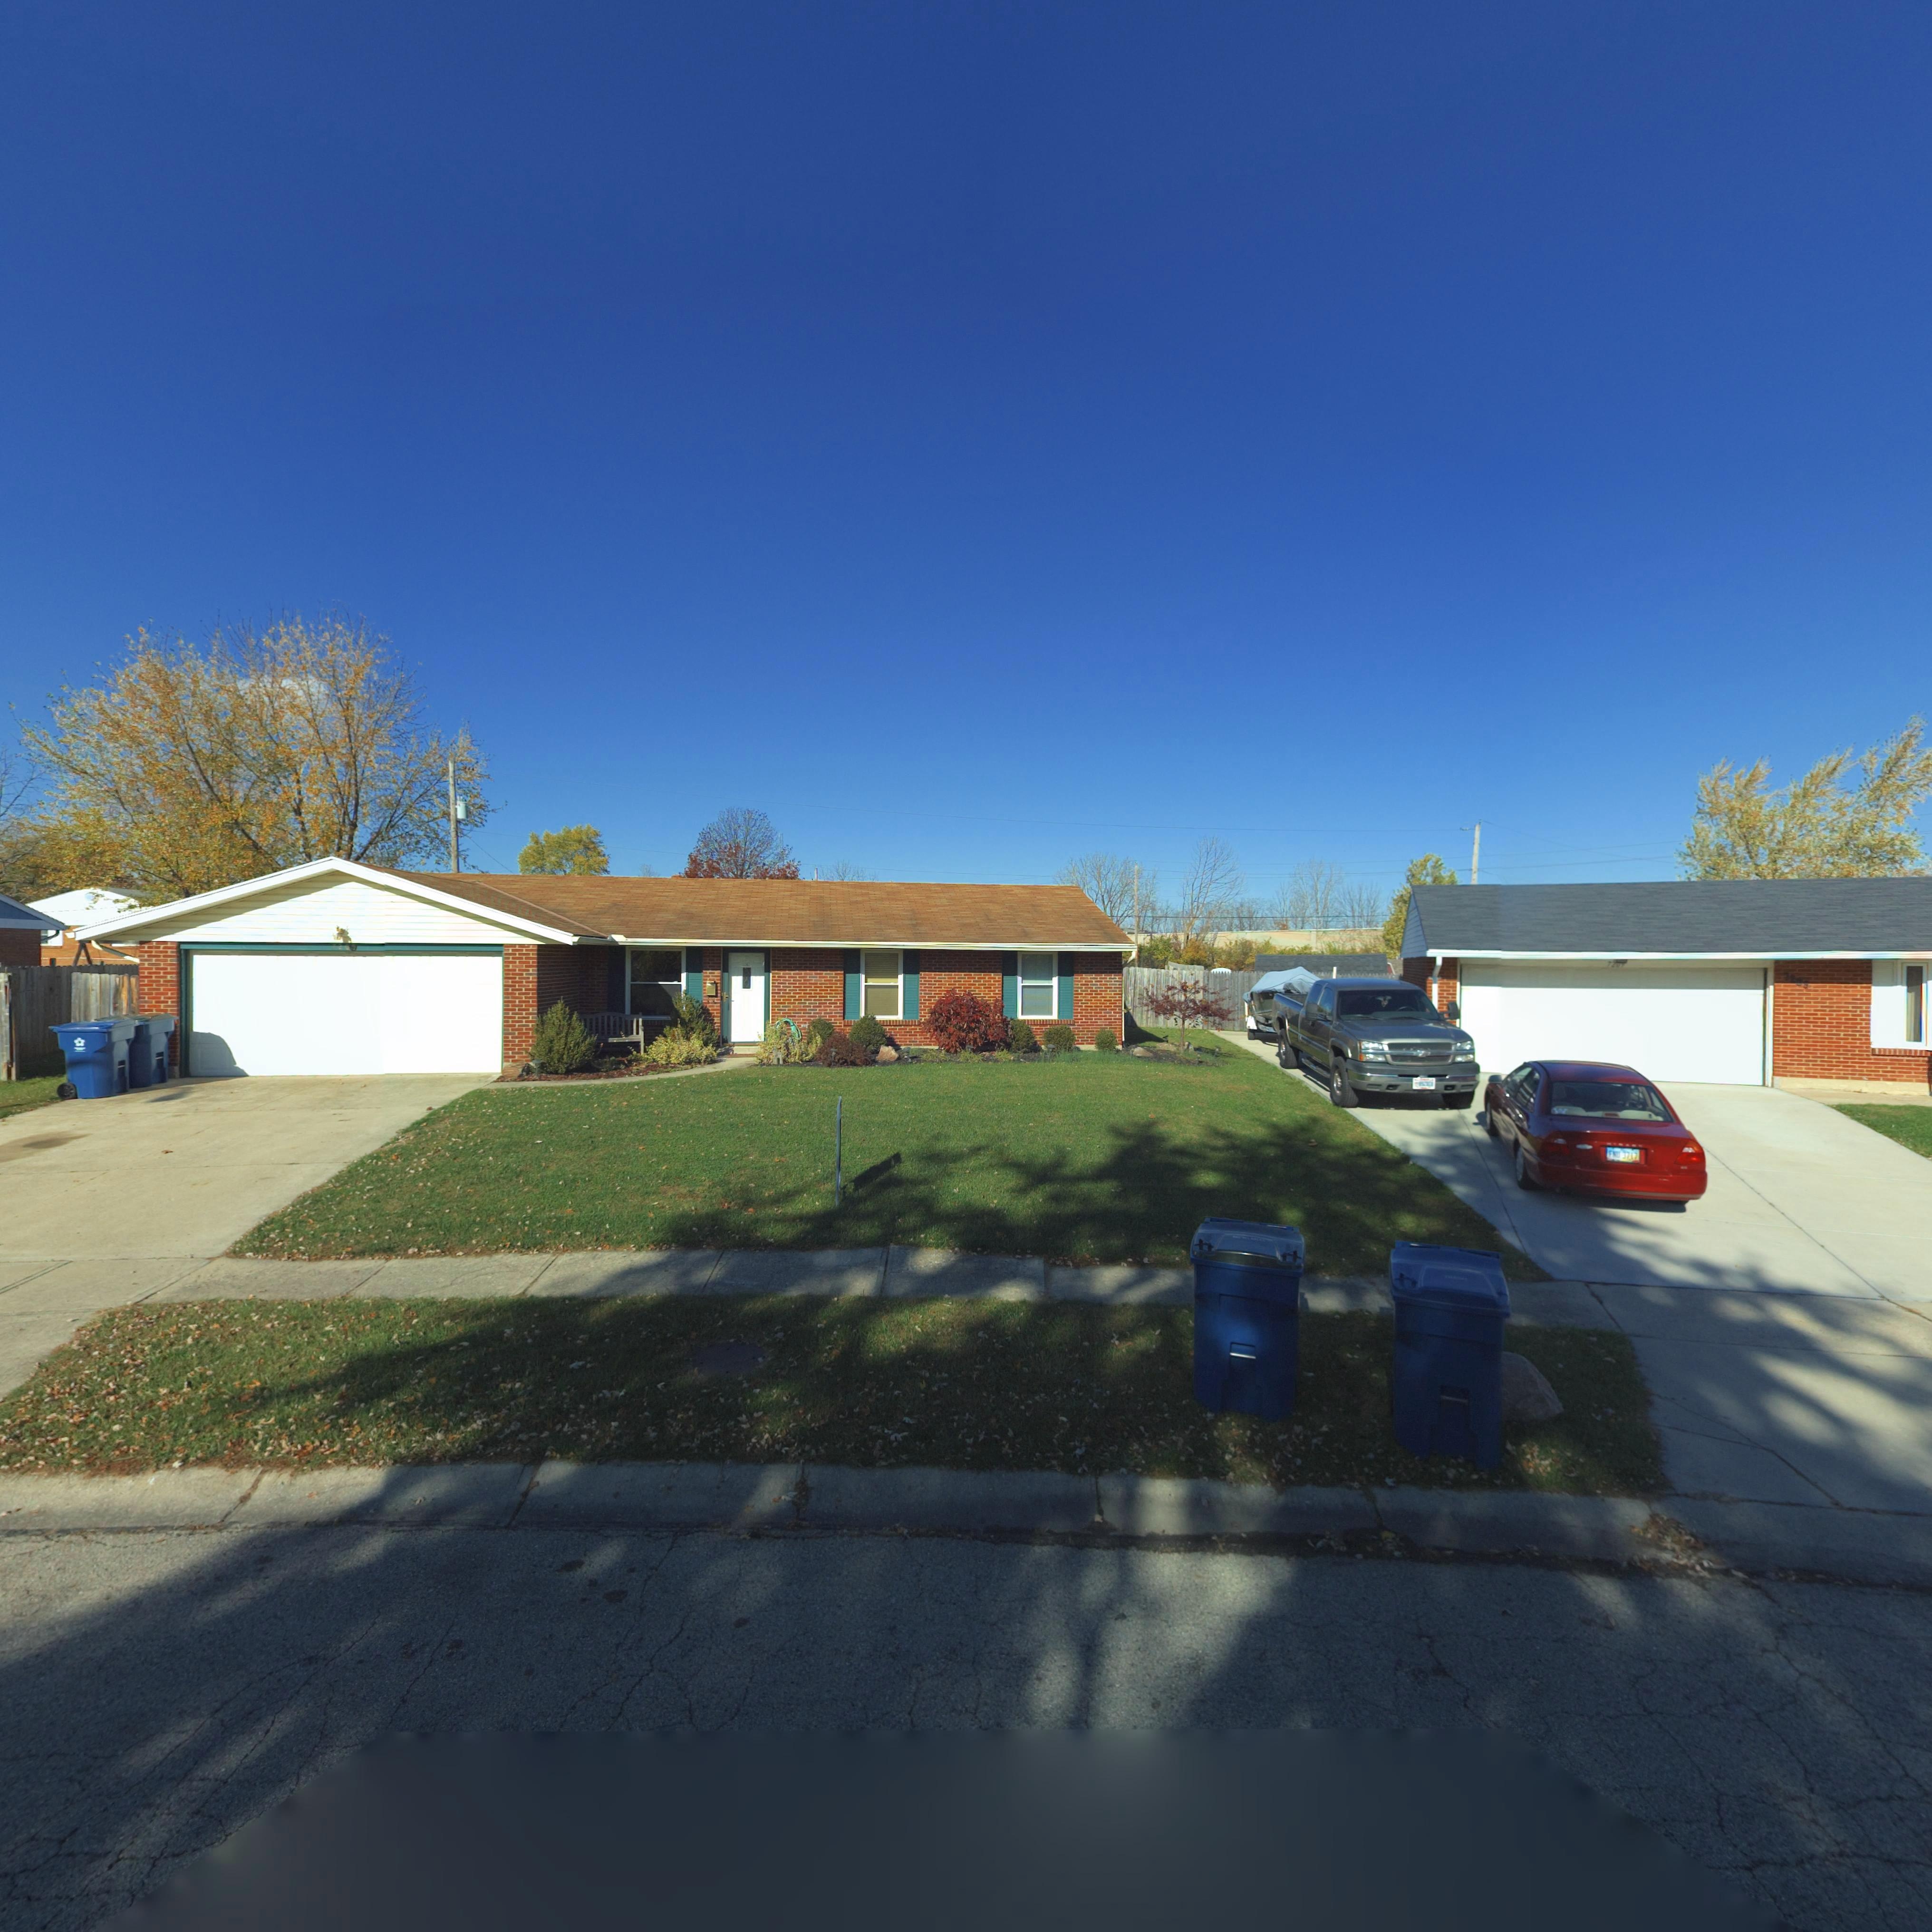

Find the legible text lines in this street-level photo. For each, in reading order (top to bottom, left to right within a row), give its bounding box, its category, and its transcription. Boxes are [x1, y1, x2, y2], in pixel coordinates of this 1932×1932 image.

[330, 943, 357, 952] StreetNumber: *20*
[1605, 960, 1617, 968] StreetNumber: 7*